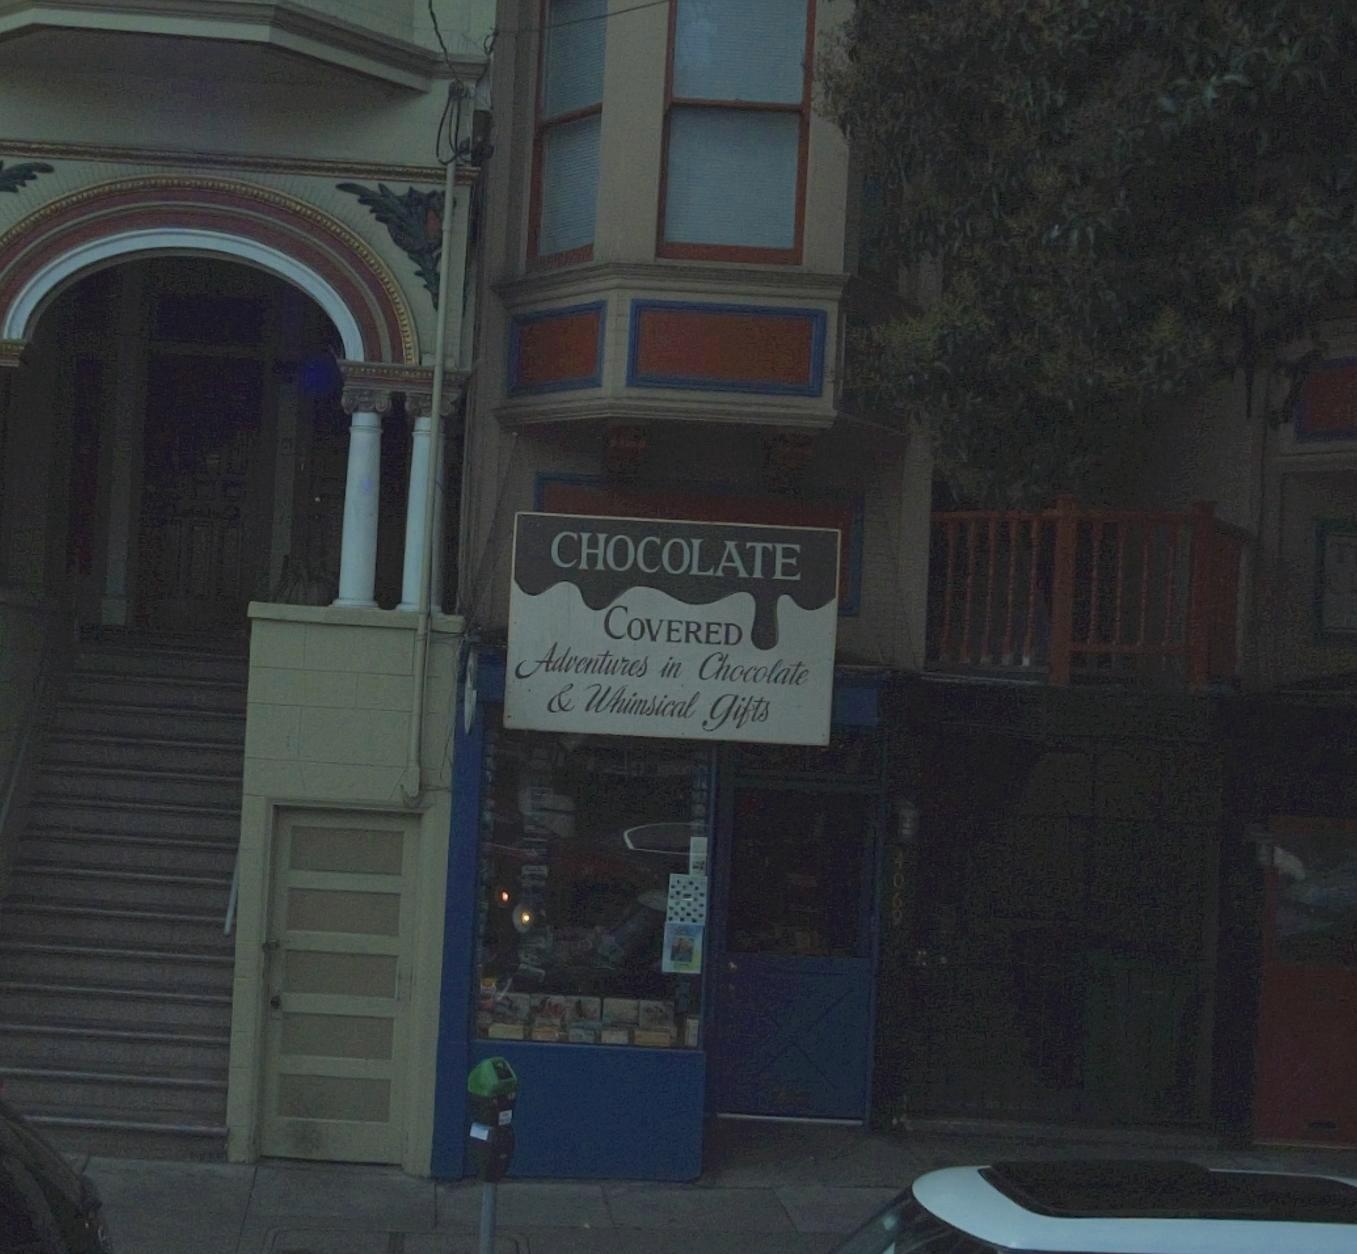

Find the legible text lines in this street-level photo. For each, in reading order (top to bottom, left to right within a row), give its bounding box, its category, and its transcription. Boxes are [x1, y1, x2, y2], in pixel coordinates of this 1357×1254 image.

[547, 529, 804, 583] BusinessName: CHOCOLATE
[601, 600, 745, 647] BusinessName: COVERED
[512, 640, 811, 688] None: Adventures in Chocolate
[545, 682, 771, 734] None: & Whimsical Gifts
[887, 843, 907, 933] StreetNumber: 4069